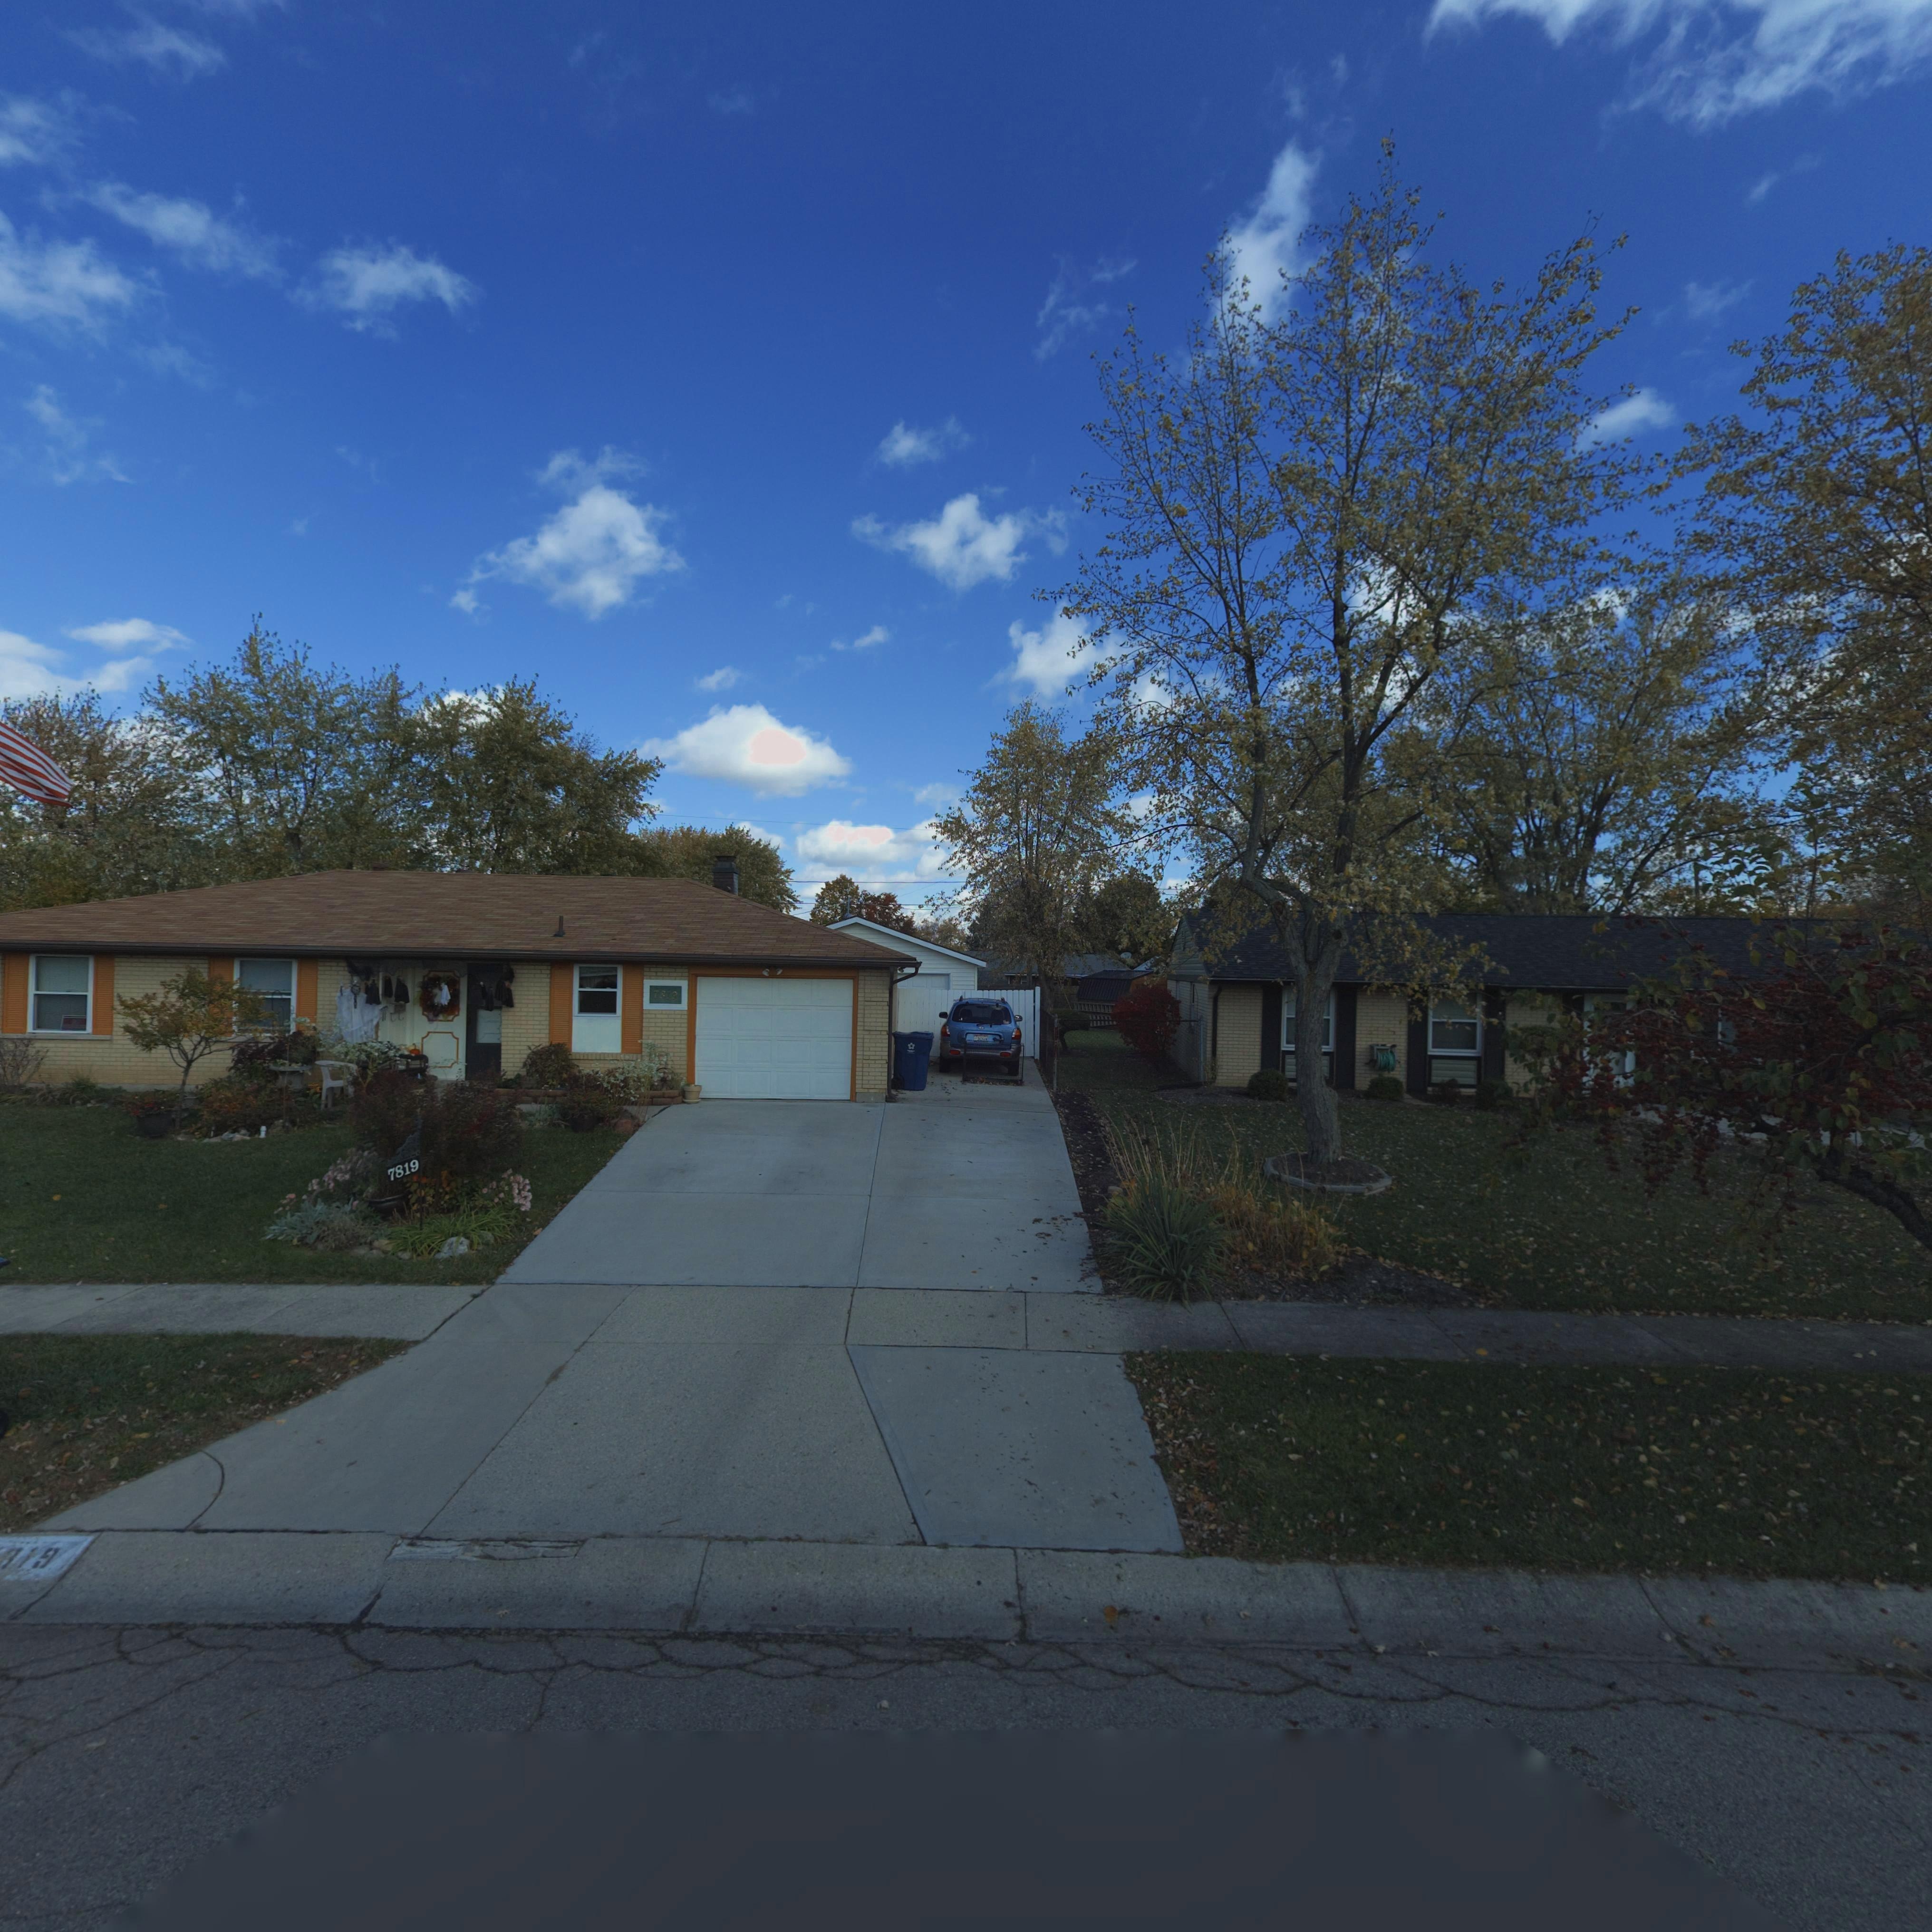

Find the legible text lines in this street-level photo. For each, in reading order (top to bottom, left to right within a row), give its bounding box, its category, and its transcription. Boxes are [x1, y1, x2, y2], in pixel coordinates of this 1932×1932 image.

[653, 990, 678, 1000] StreetNumber: 7819
[387, 1159, 419, 1182] StreetNumber: 7819
[15, 1546, 63, 1570] StreetNumber: 19